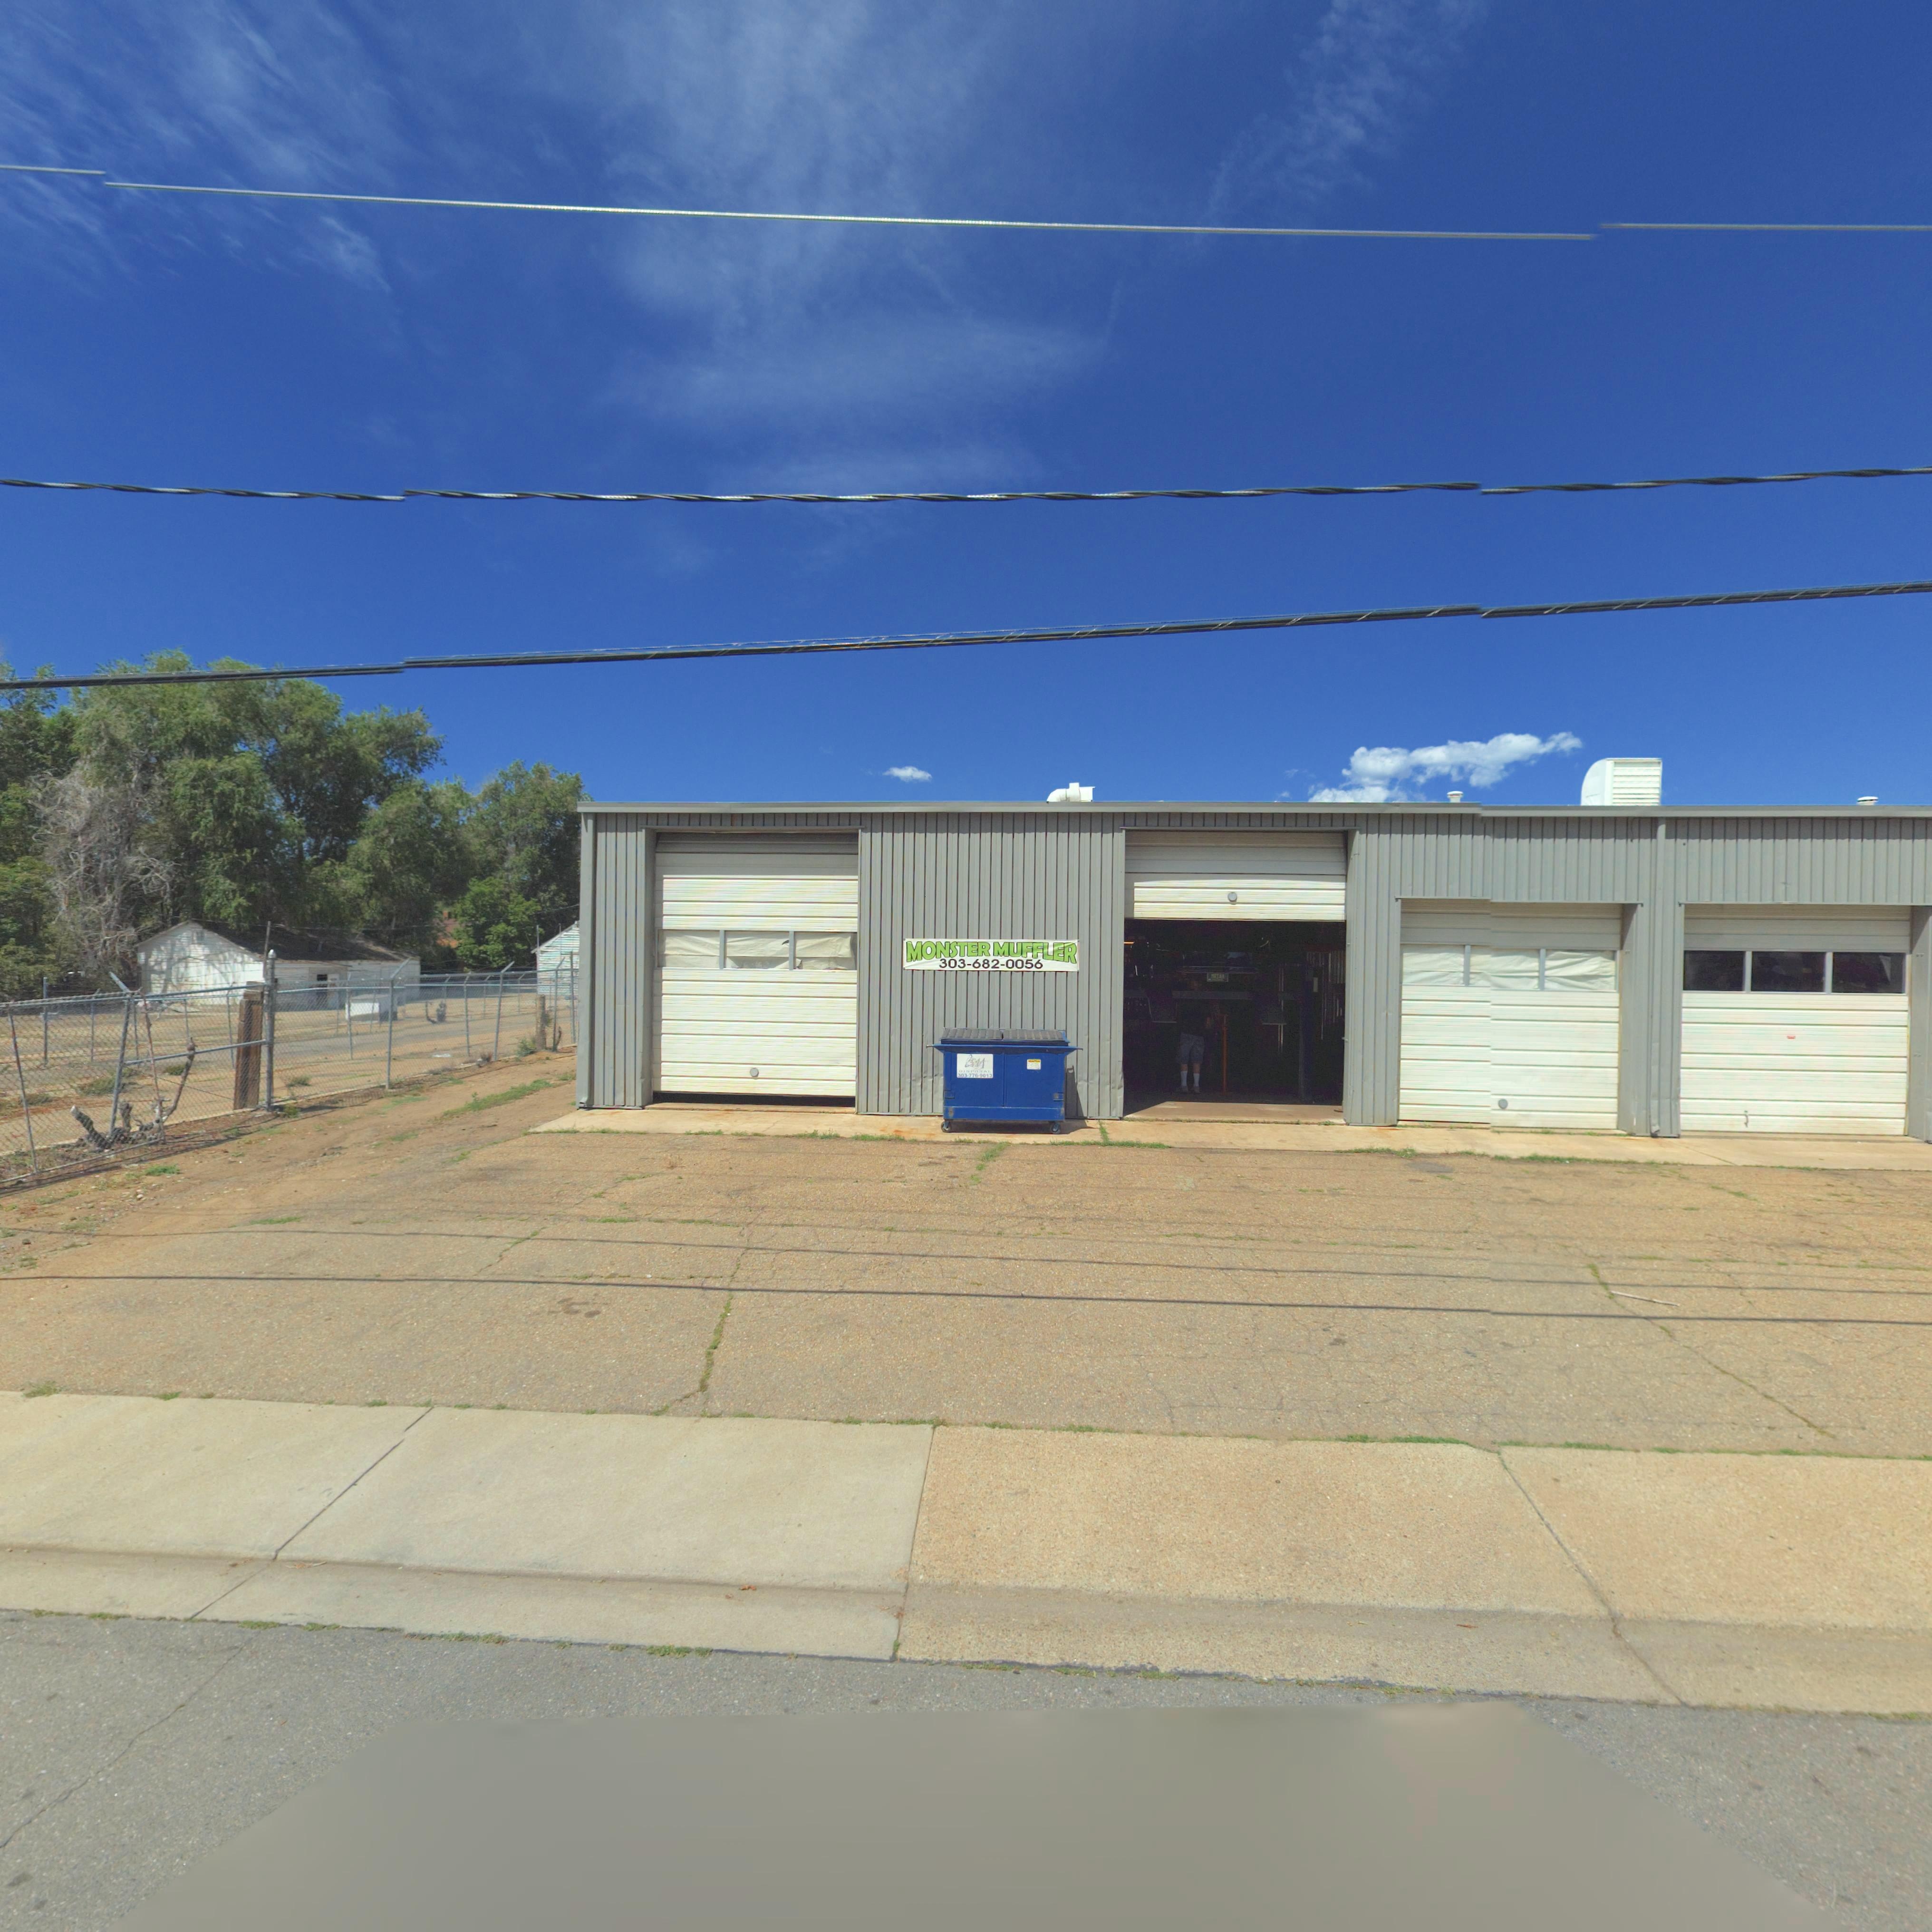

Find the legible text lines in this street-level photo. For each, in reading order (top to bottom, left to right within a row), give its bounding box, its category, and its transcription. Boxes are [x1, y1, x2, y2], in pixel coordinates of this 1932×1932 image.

[905, 940, 1078, 964] BusinessName: MONSTER MUFFLER